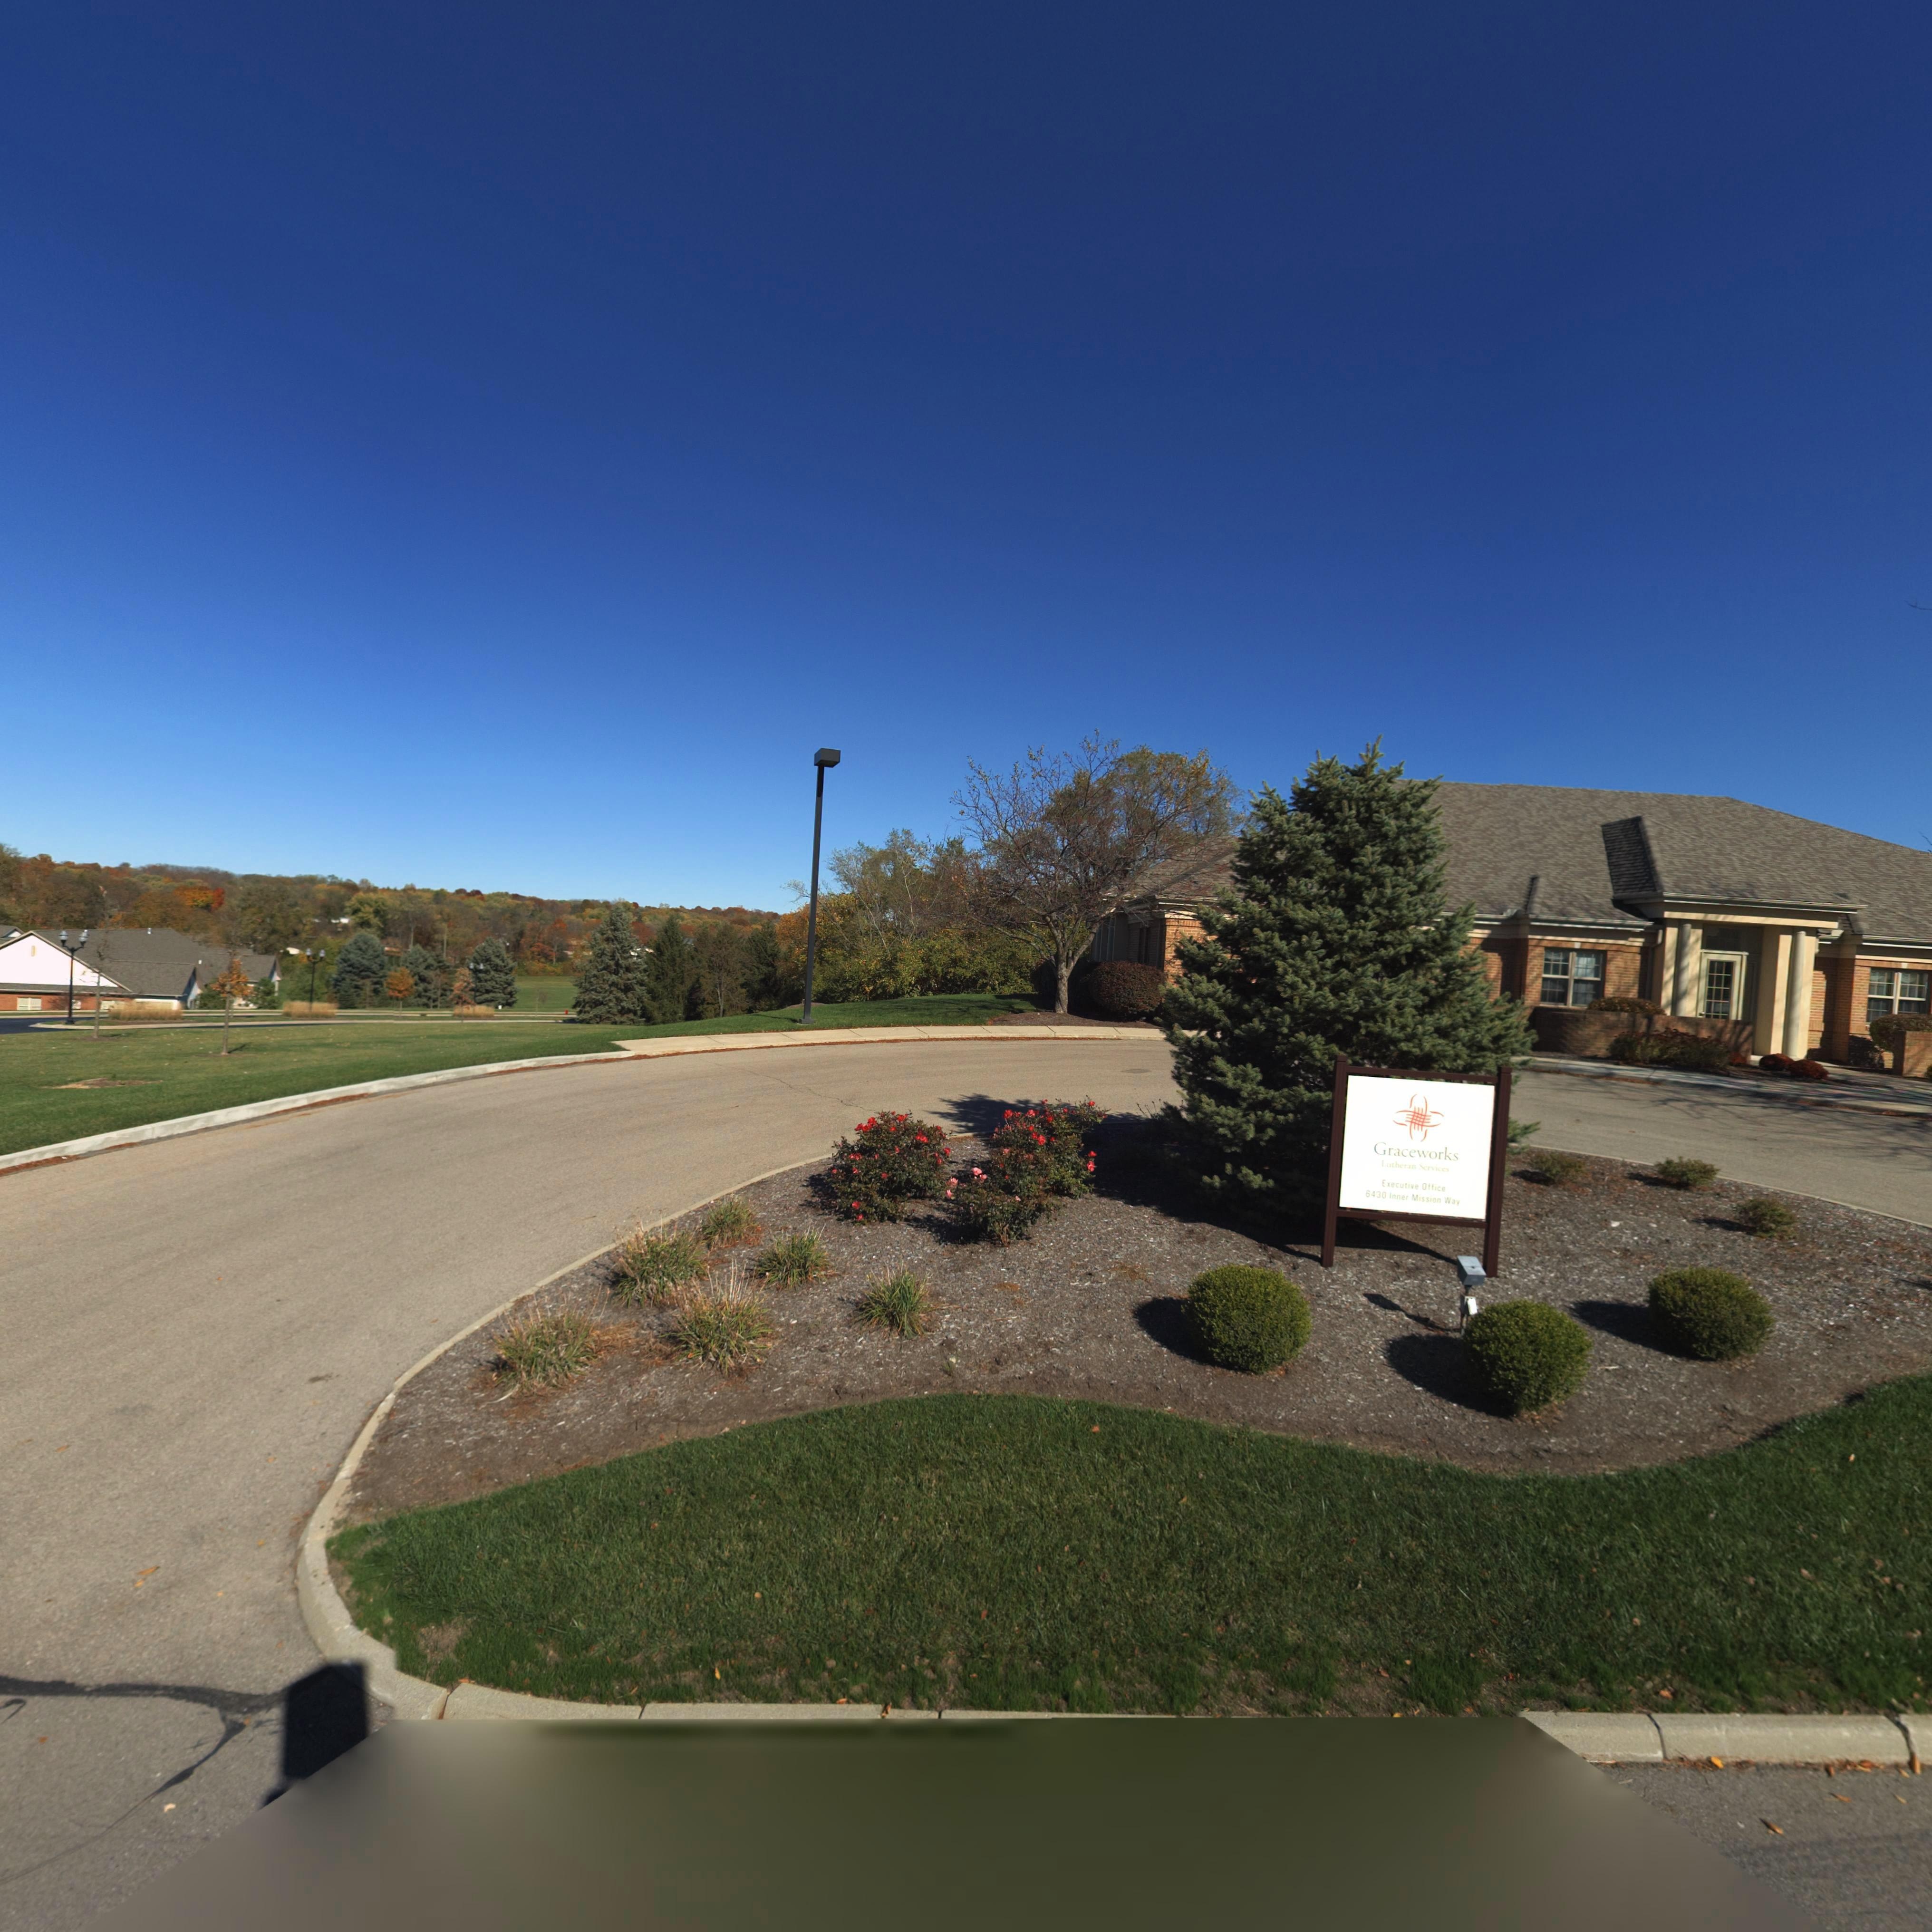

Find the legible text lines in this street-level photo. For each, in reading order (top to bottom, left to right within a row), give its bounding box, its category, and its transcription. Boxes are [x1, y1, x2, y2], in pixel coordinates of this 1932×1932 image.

[1373, 1141, 1460, 1162] BusinessName: Graceworks
[1380, 1159, 1450, 1173] None: Lutheran Services
[1381, 1179, 1447, 1193] None: Executive Office
[1364, 1188, 1387, 1200] StreetNumber: 6430
[1388, 1191, 1462, 1208] StreetName: Inner Mission Way